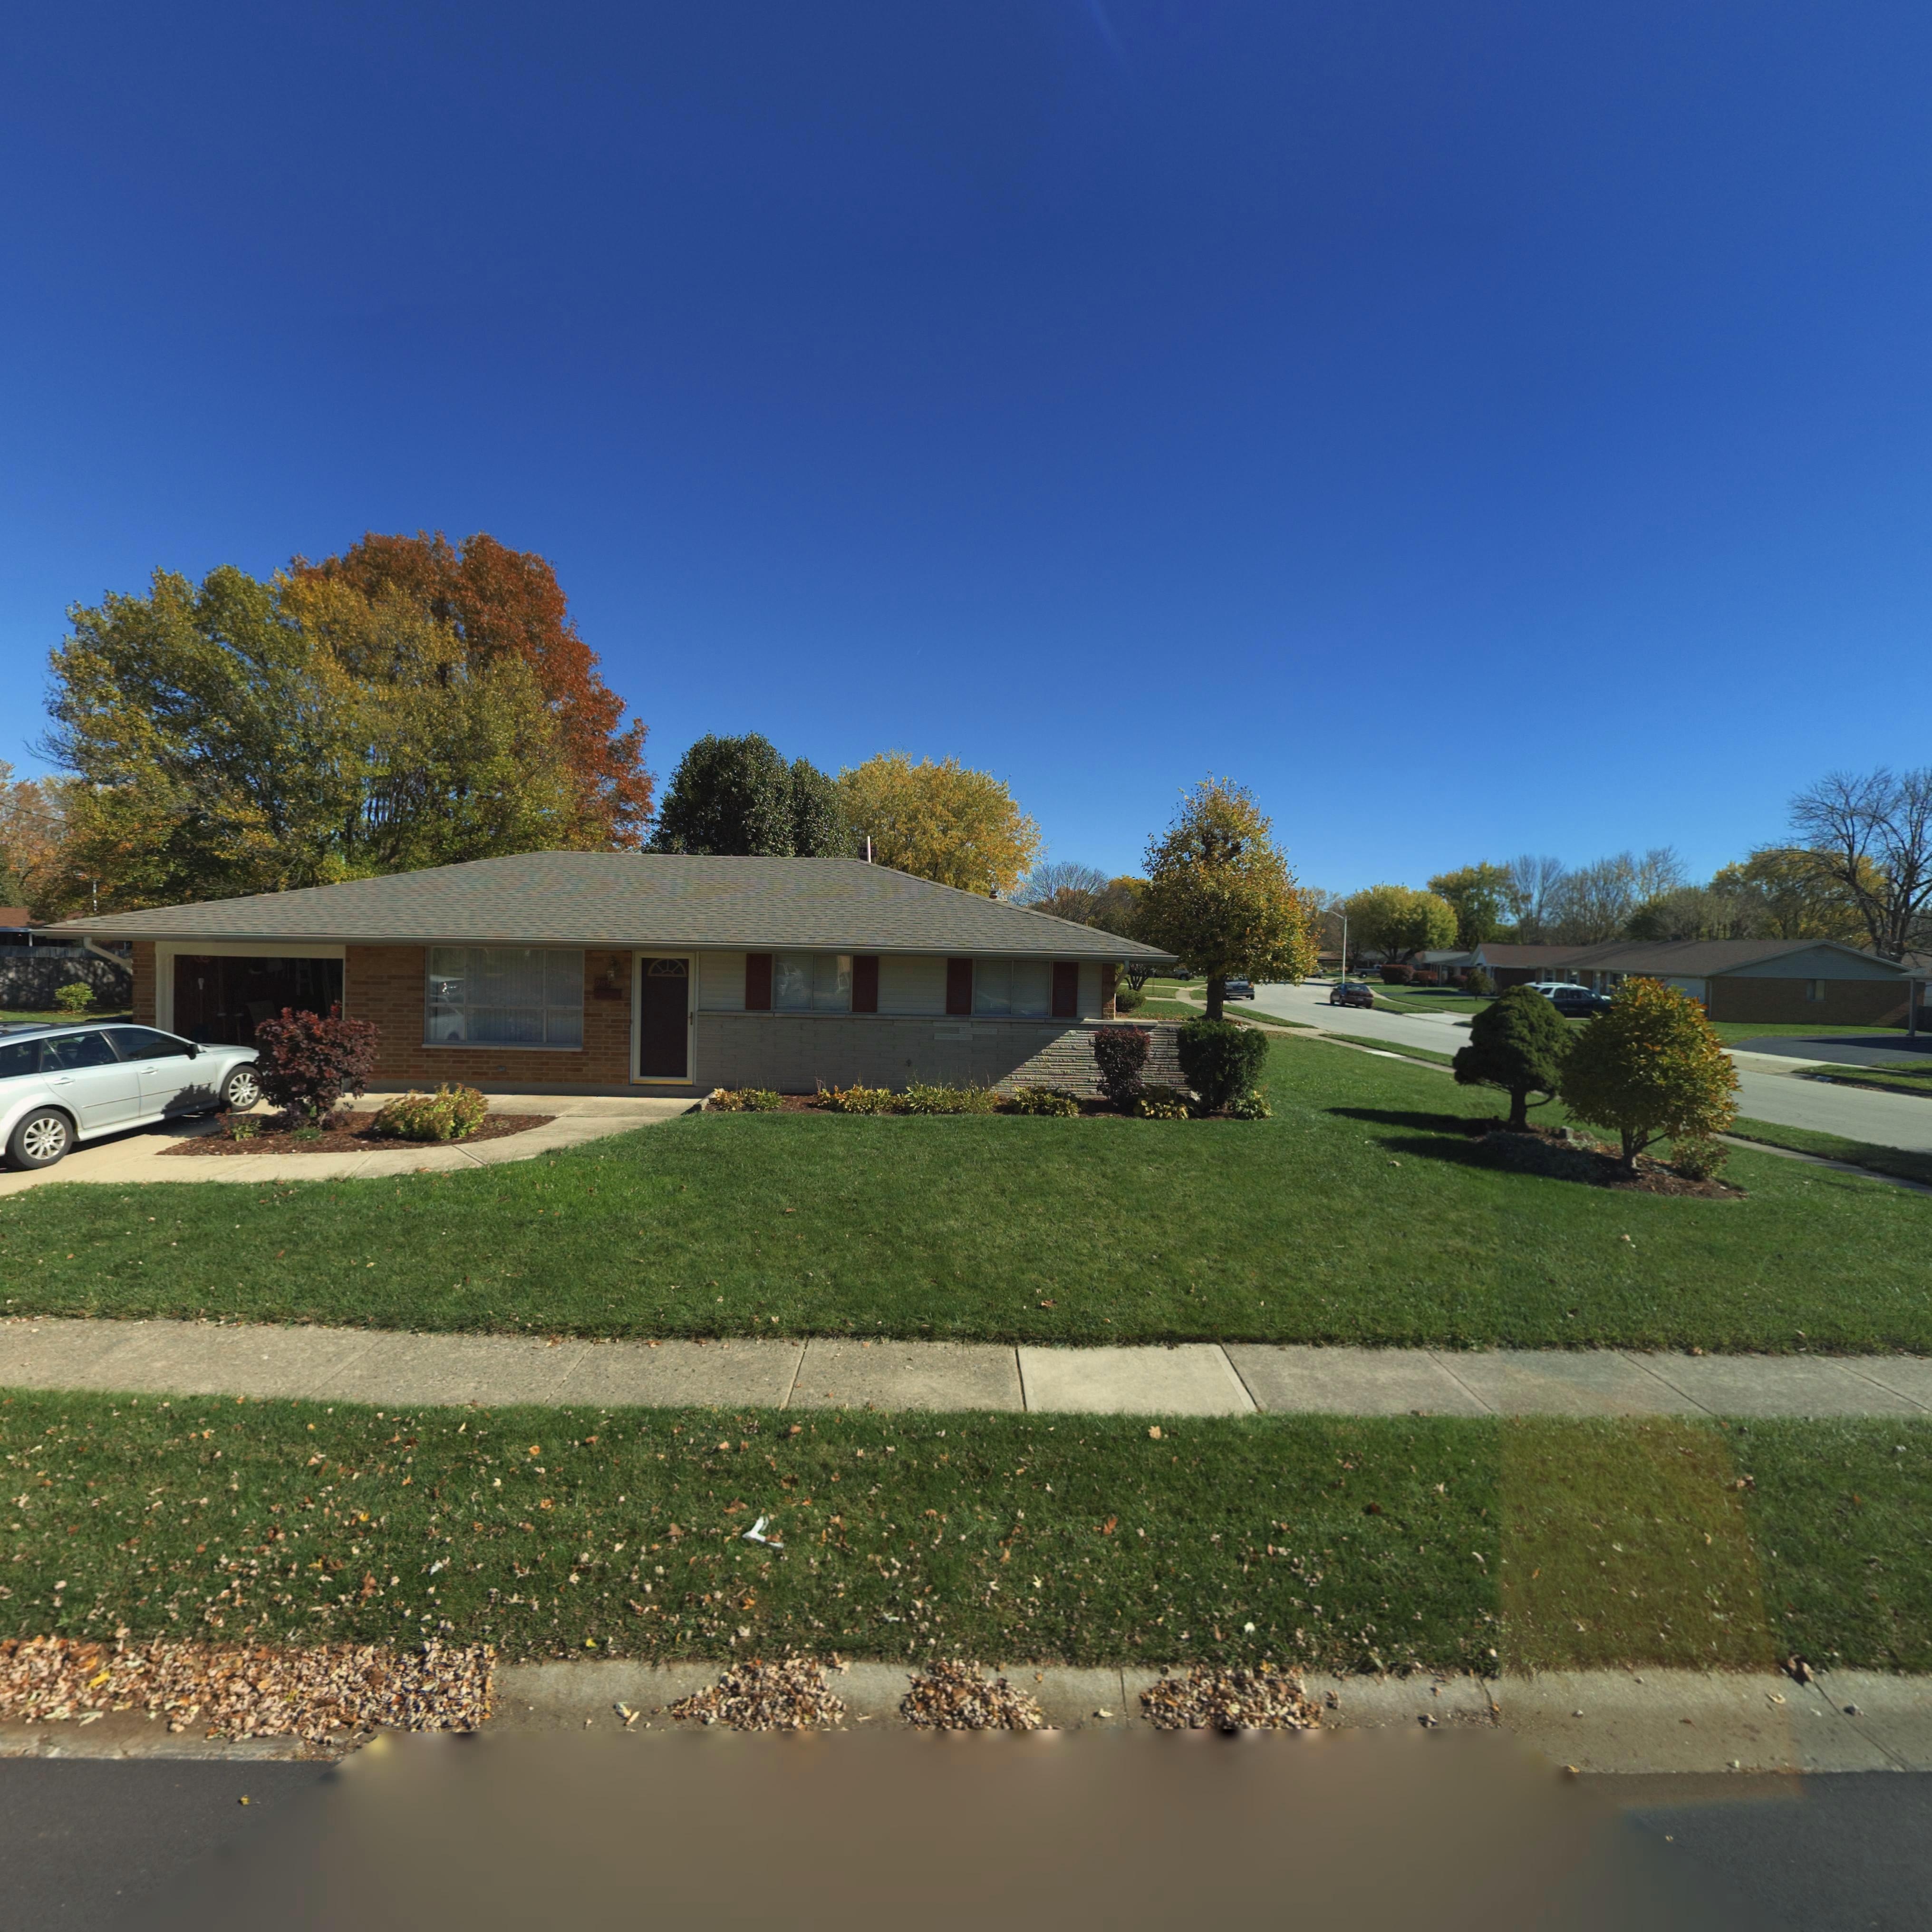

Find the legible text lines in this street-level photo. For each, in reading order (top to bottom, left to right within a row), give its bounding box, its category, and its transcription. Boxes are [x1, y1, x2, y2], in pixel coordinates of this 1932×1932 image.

[595, 979, 610, 988] StreetNumber: 903